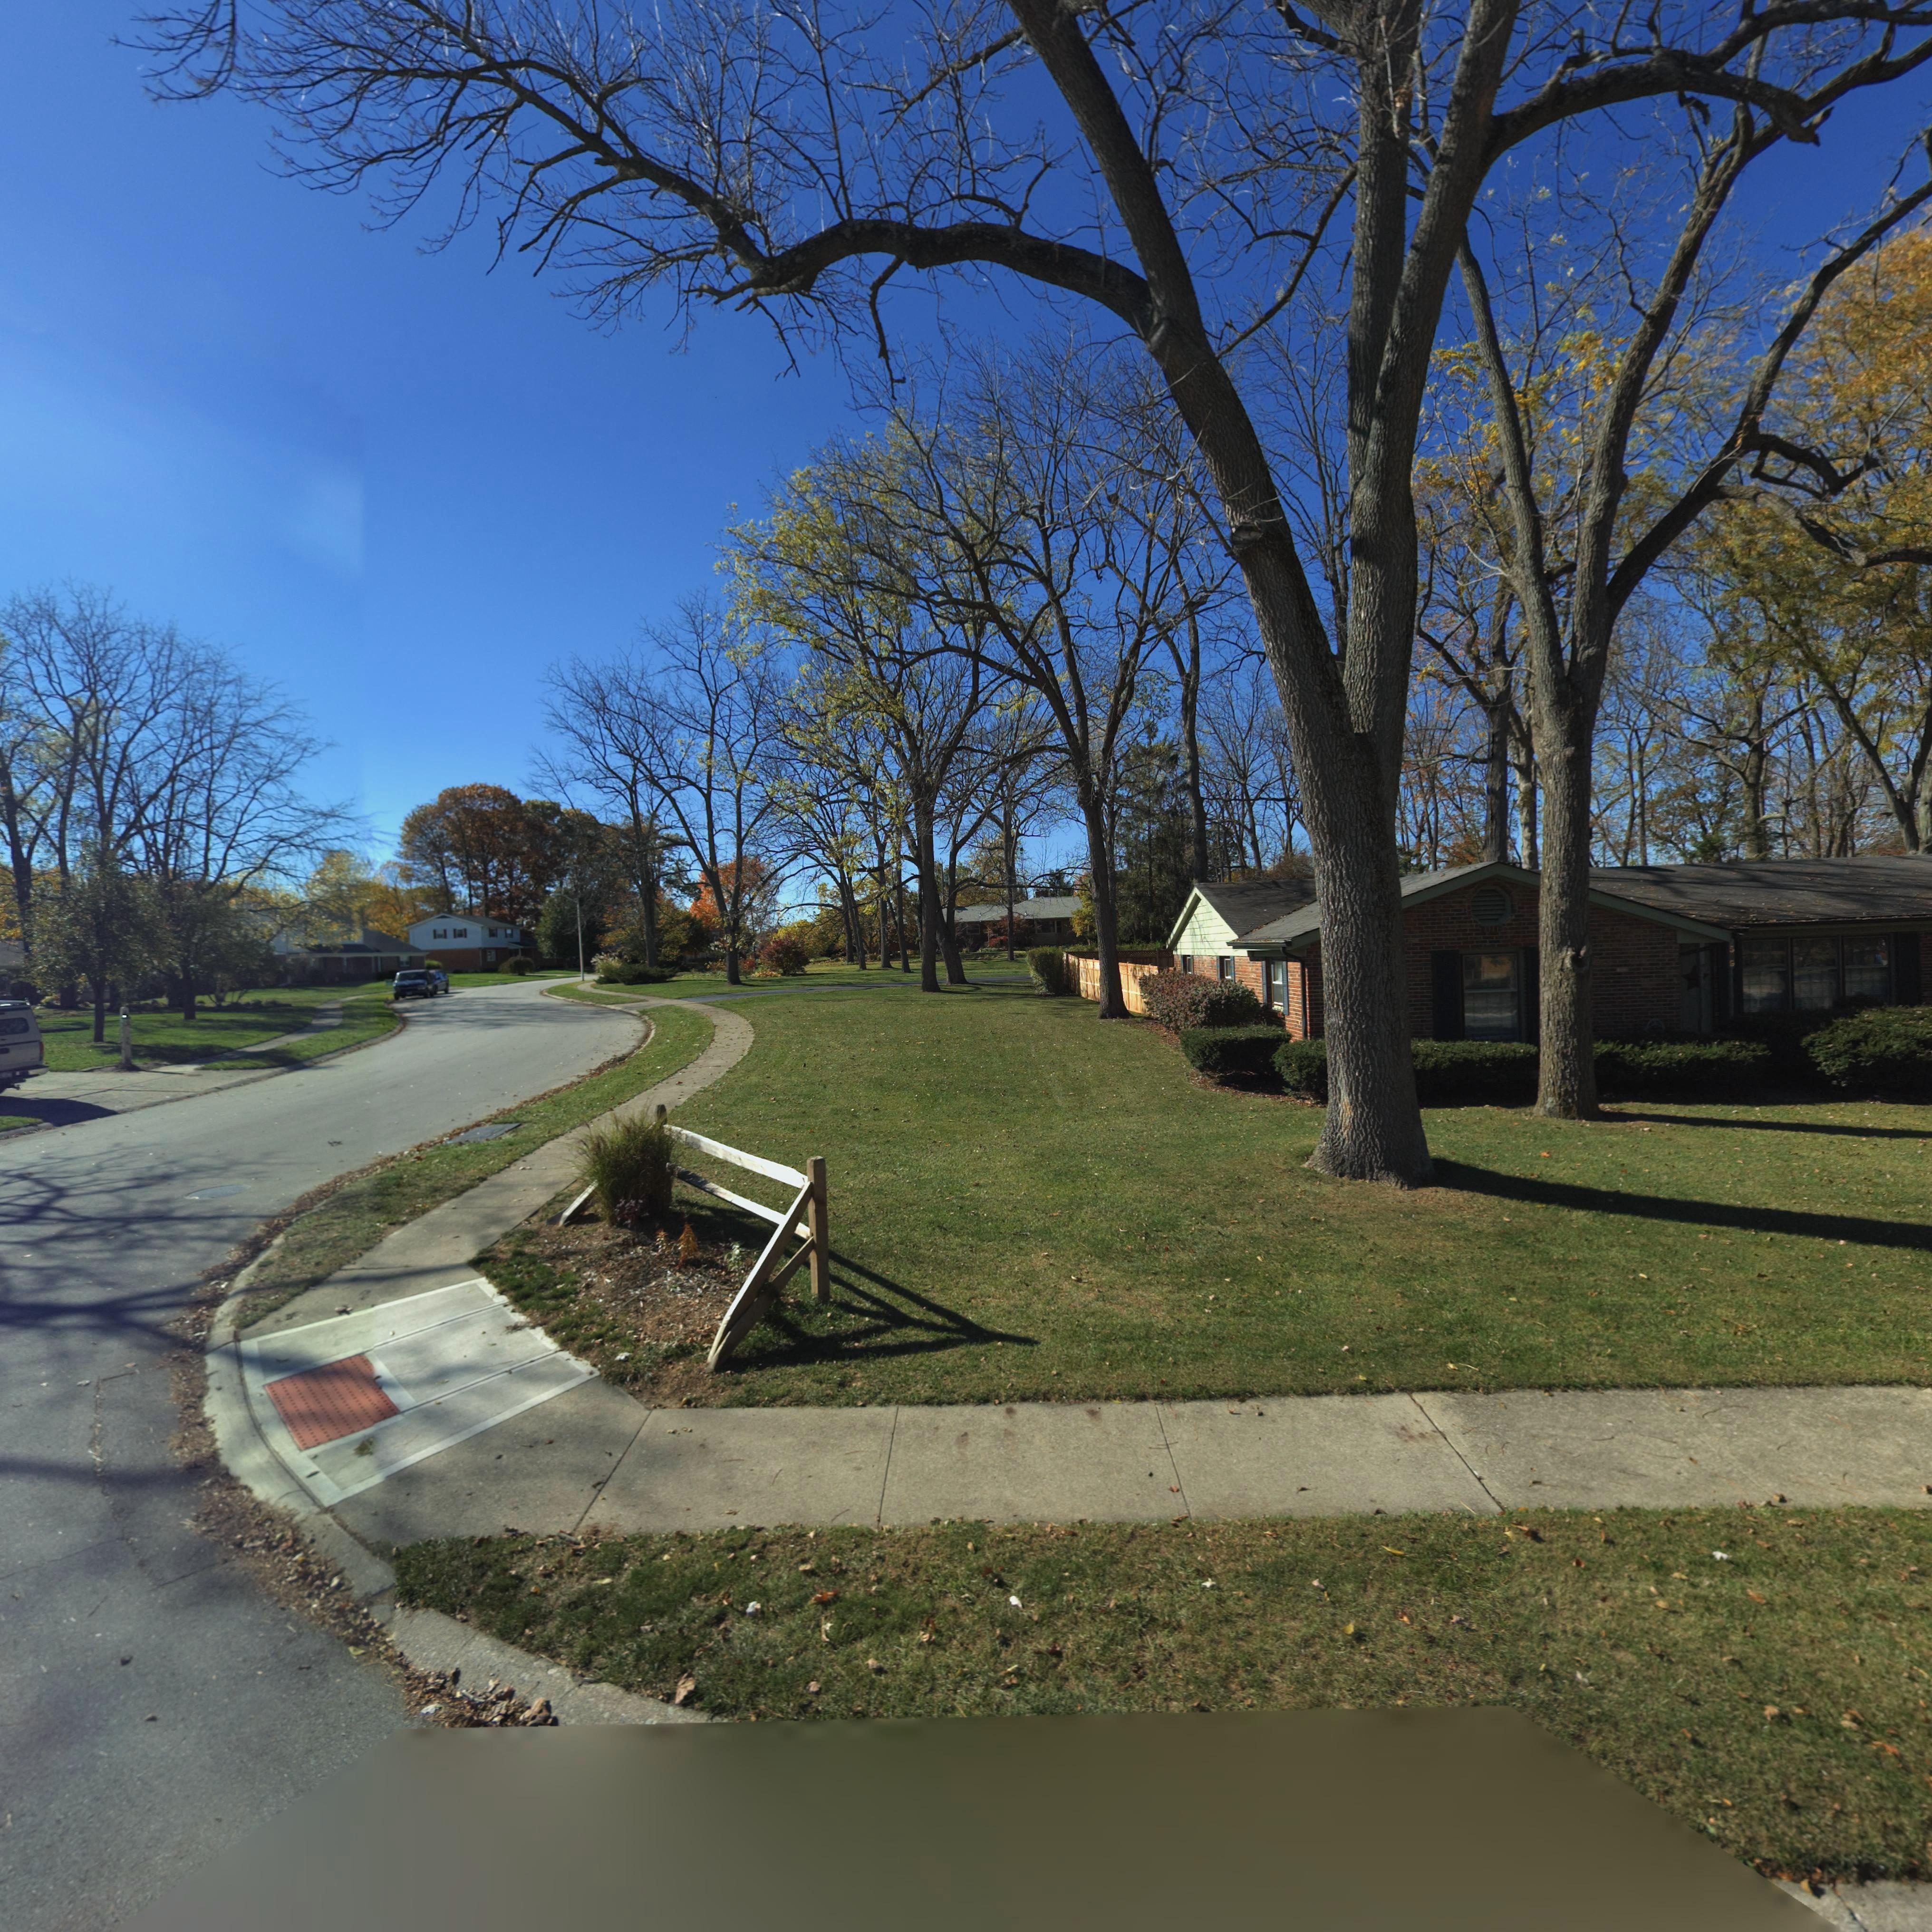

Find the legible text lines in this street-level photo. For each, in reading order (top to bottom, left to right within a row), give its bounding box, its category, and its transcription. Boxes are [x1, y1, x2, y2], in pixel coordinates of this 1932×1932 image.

[1729, 945, 1736, 967] StreetNumber: 5*9